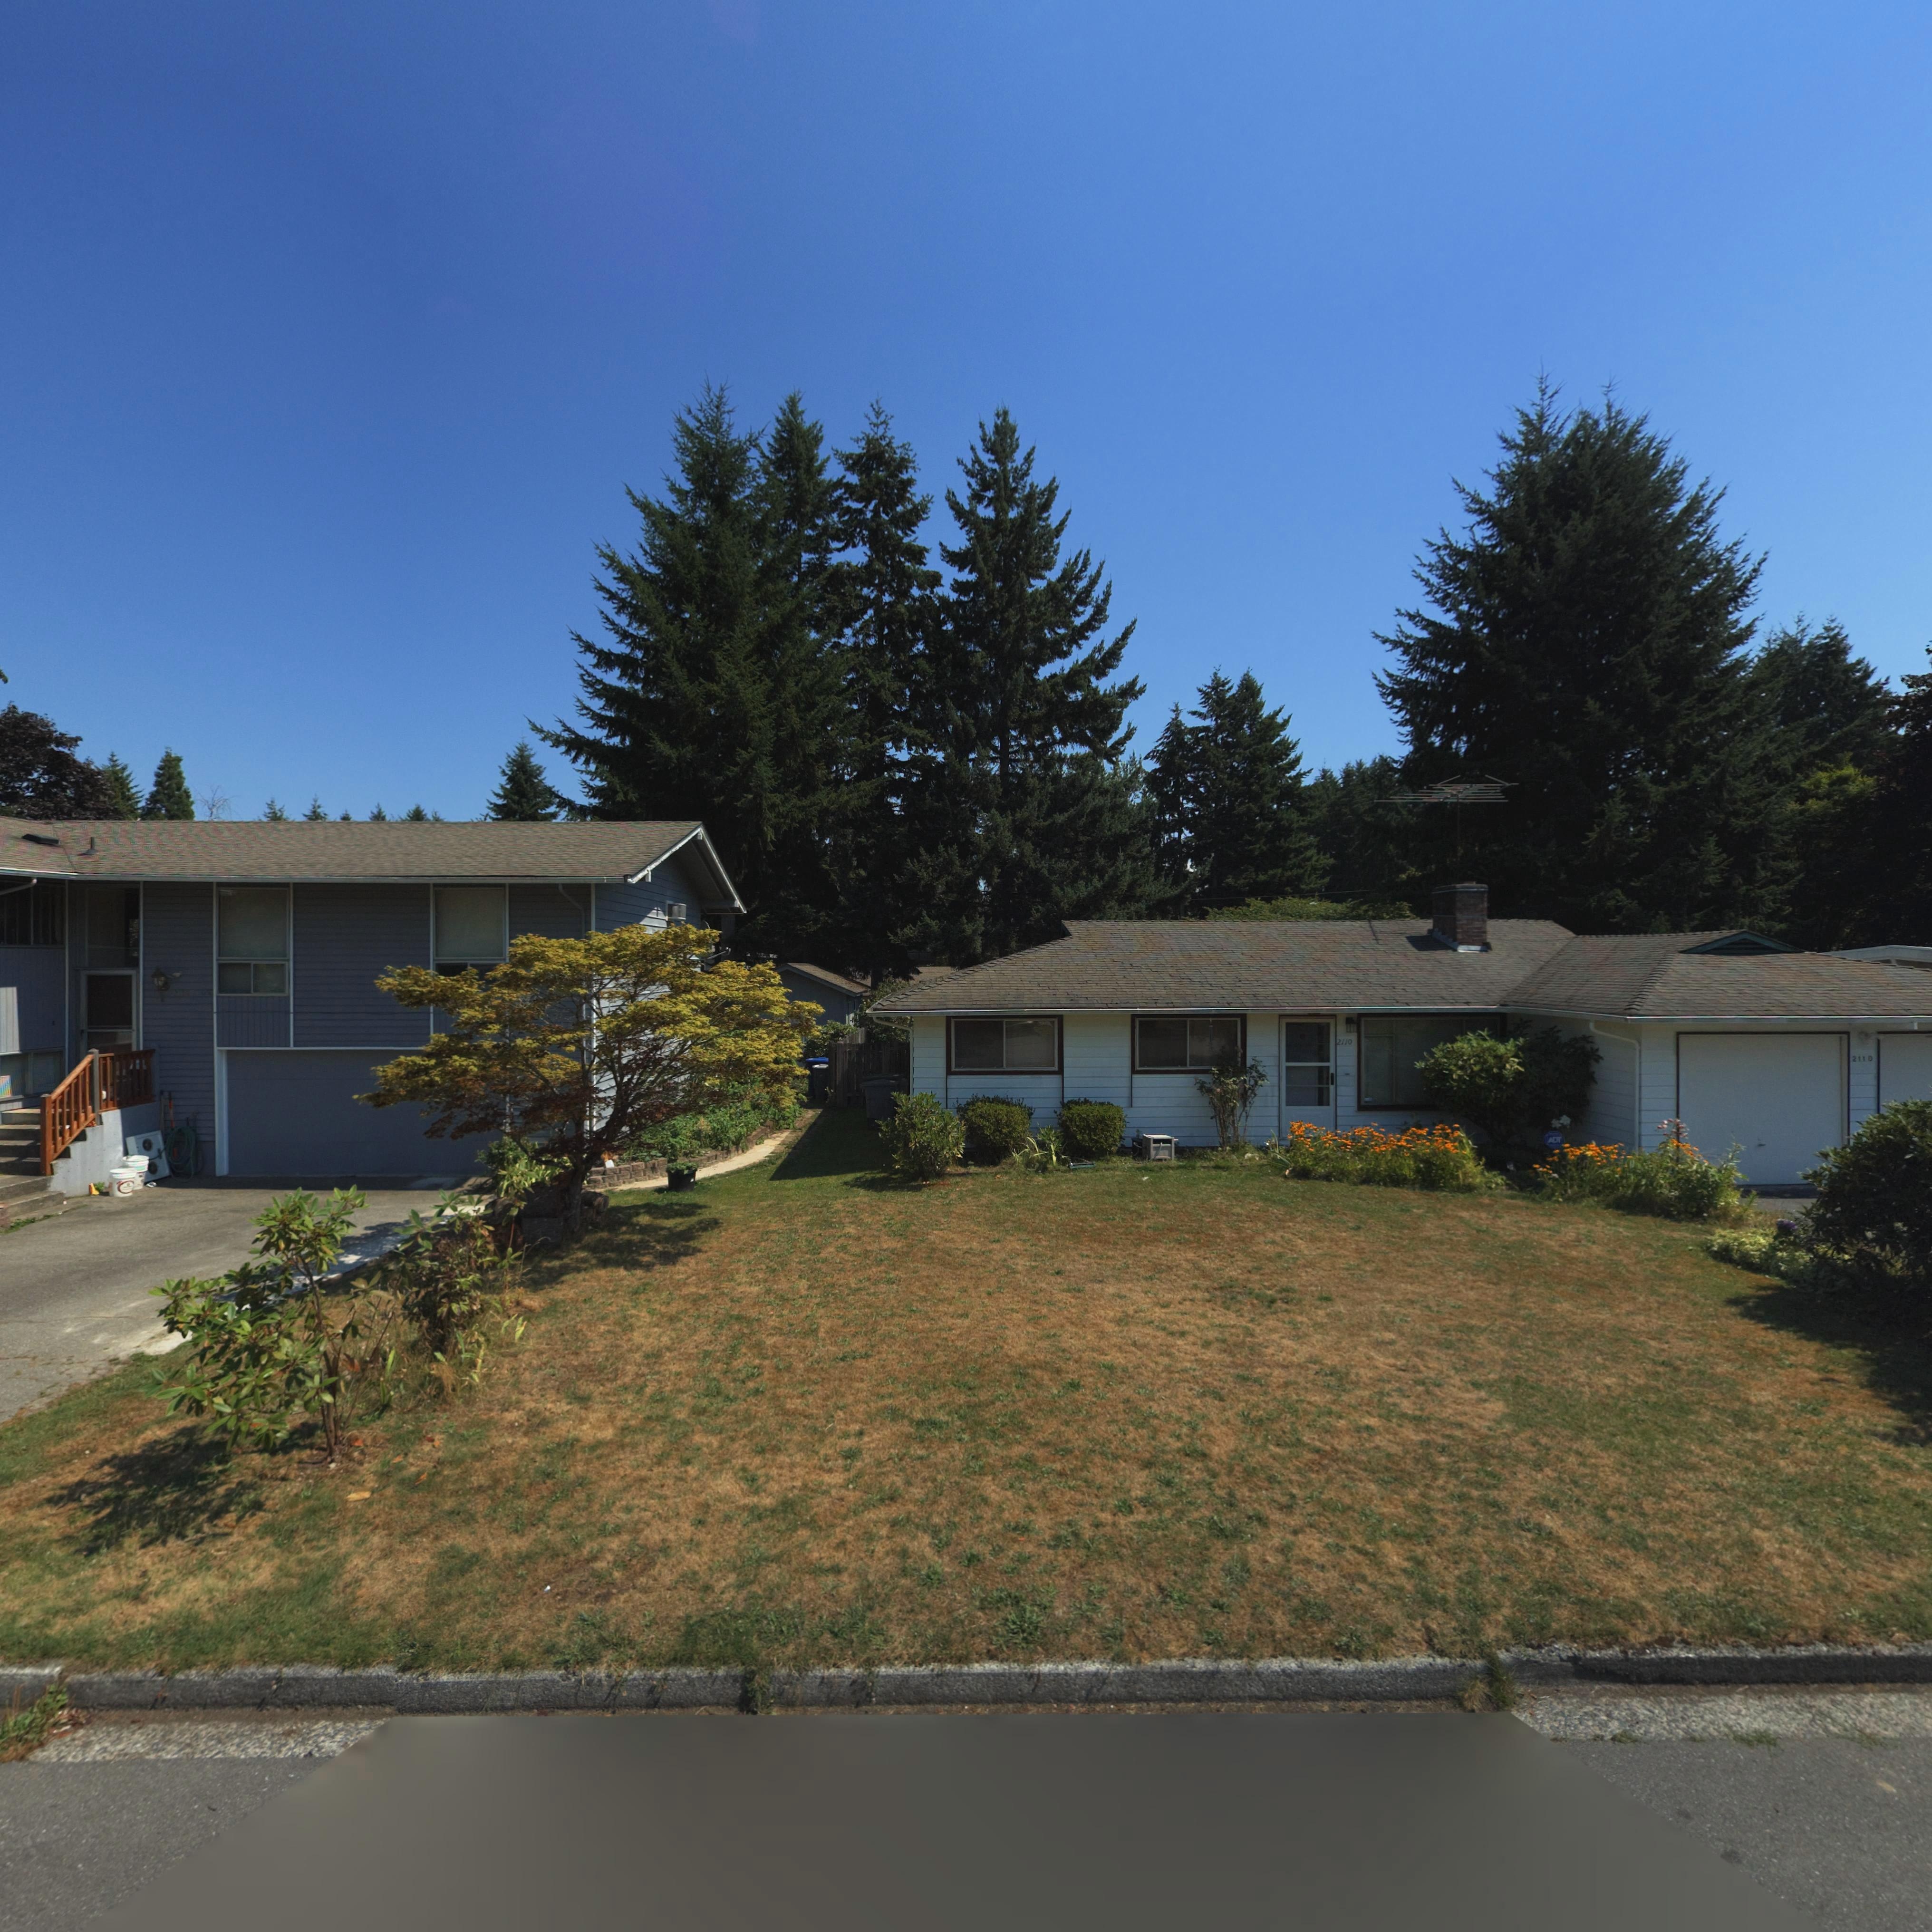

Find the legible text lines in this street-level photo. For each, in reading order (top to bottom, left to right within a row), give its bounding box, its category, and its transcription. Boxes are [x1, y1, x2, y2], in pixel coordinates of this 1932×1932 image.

[1336, 1038, 1354, 1046] StreetNumber: 2110
[1852, 1055, 1873, 1062] StreetNumber: 2110